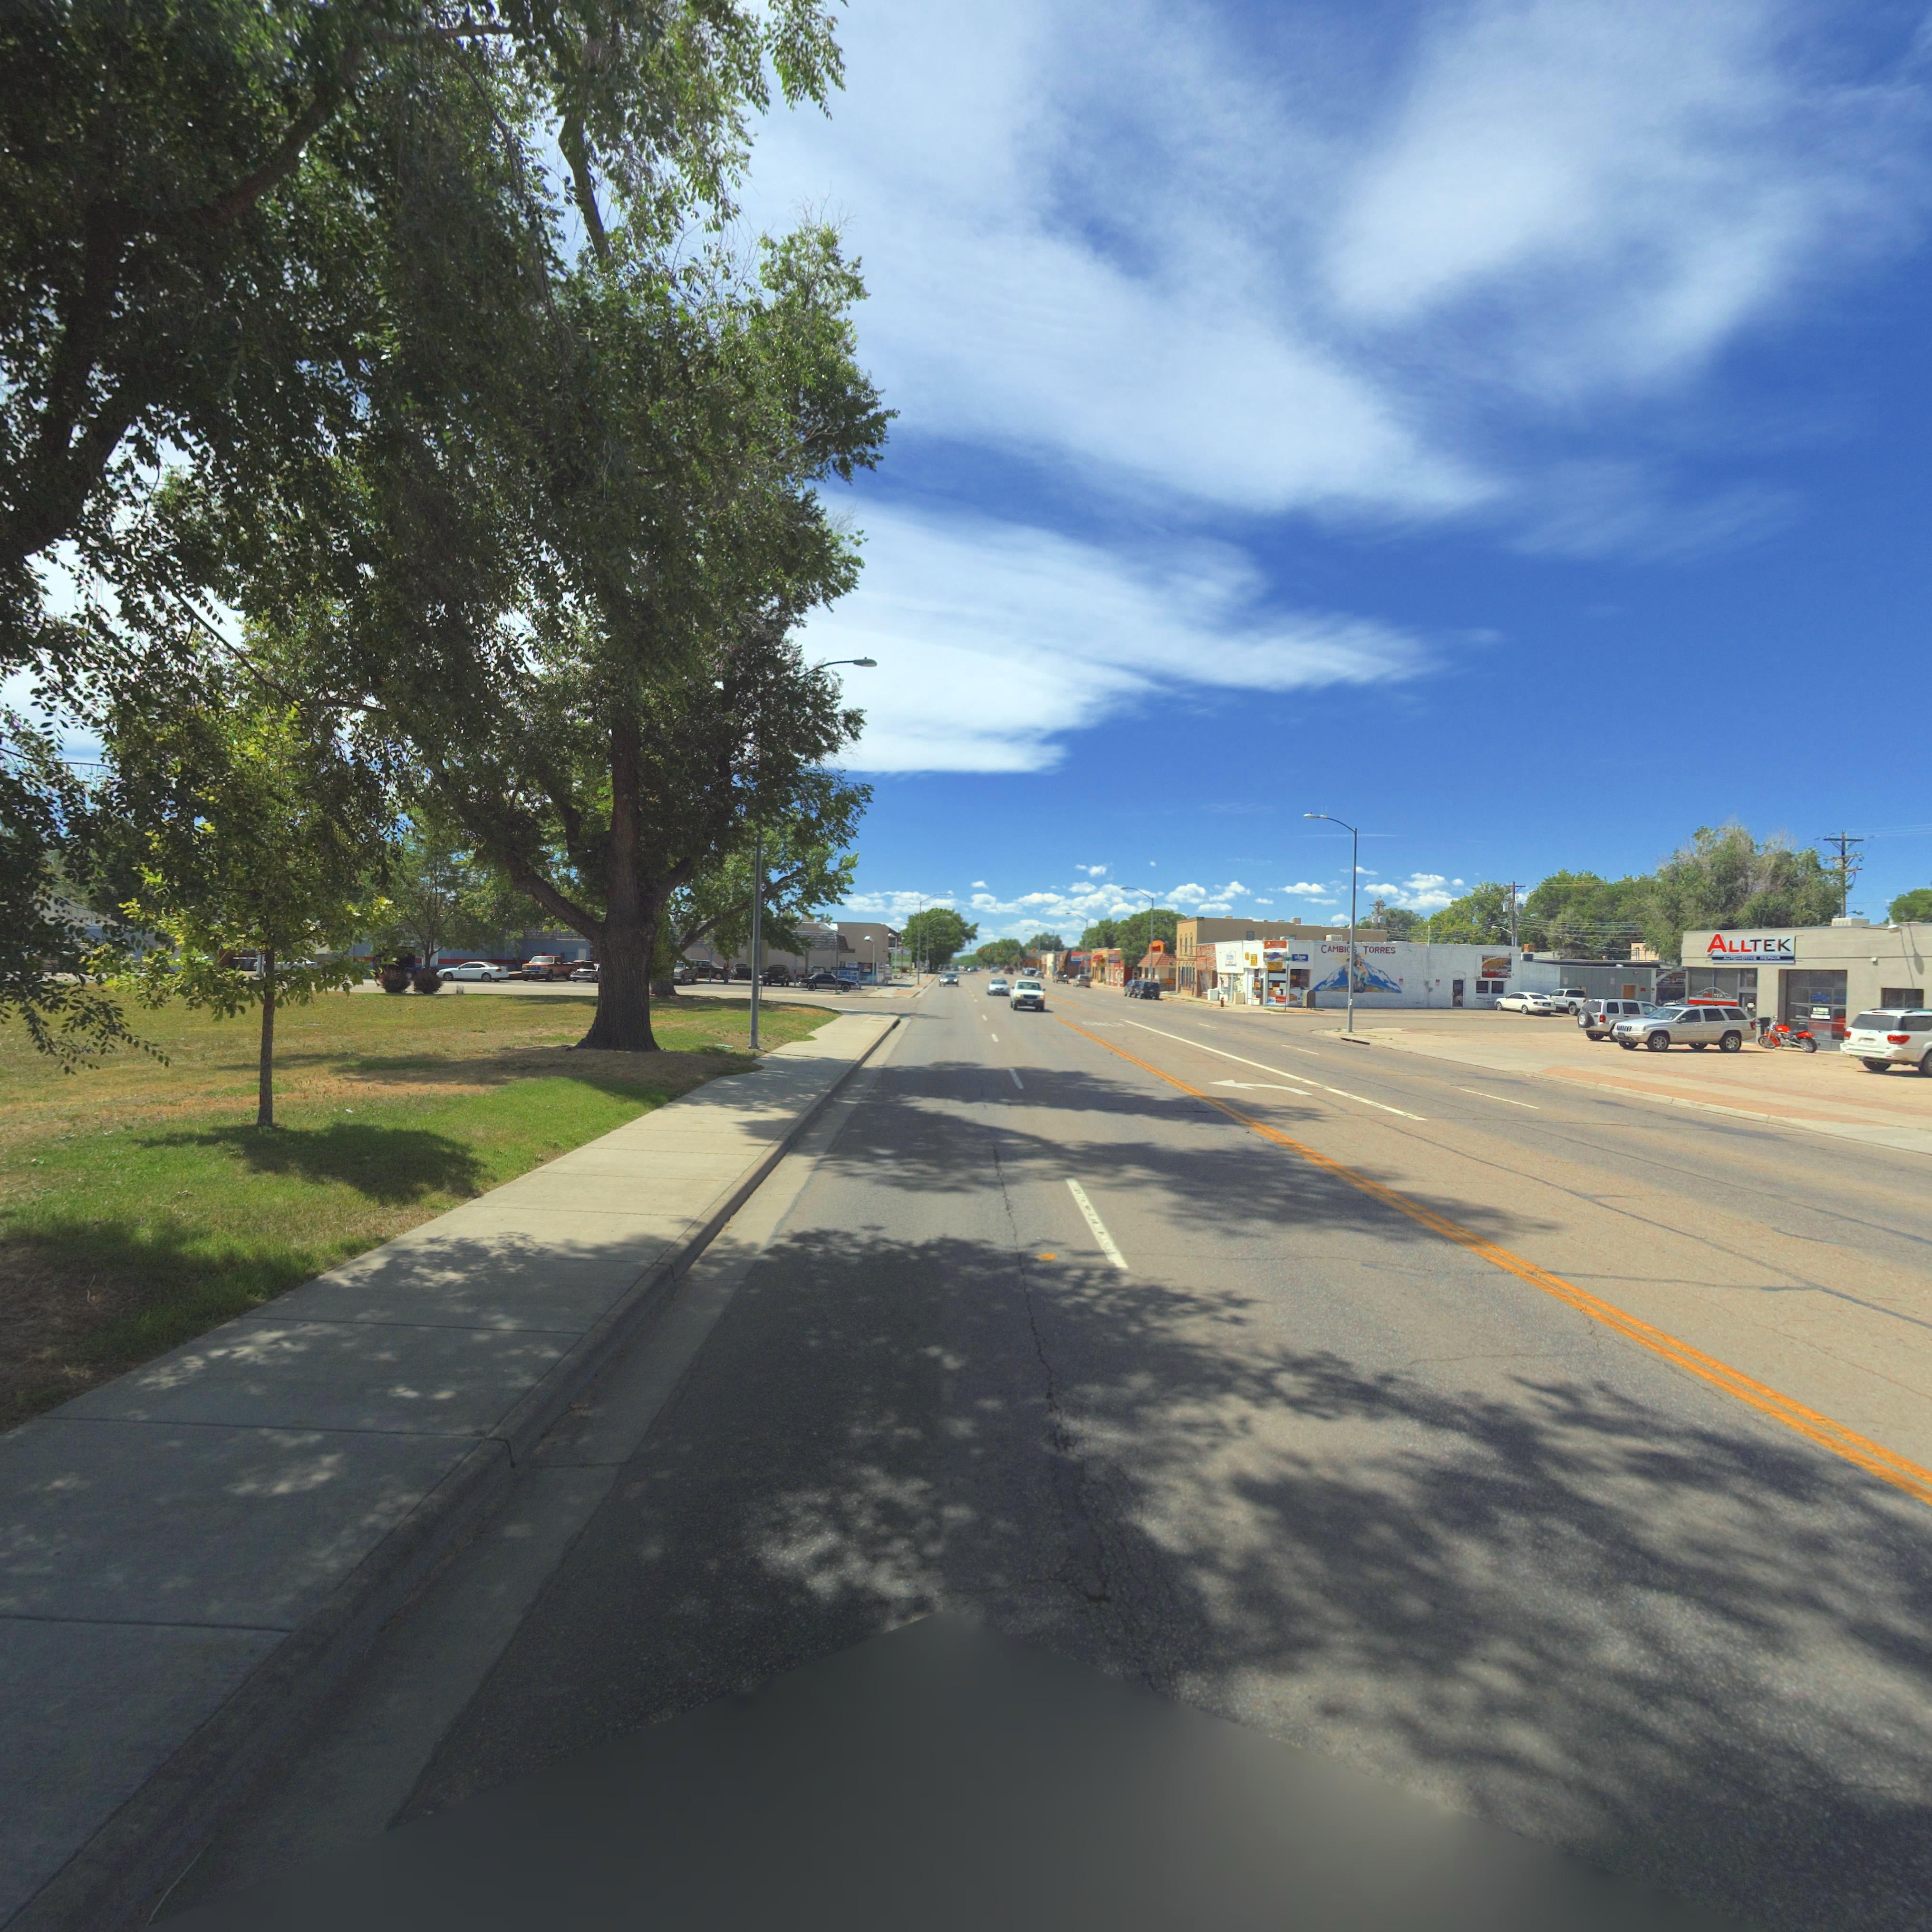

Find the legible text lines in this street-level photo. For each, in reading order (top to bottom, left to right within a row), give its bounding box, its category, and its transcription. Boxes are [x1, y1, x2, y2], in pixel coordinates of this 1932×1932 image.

[1706, 933, 1791, 953] BusinessName: ALLTEK
[1321, 944, 1396, 955] BusinessName: CAMBI** TORRES
[839, 971, 850, 975] BusinessName: KEN'S
[851, 976, 857, 980] BusinessName: CO
[1713, 993, 1723, 997] BusinessName: TEK